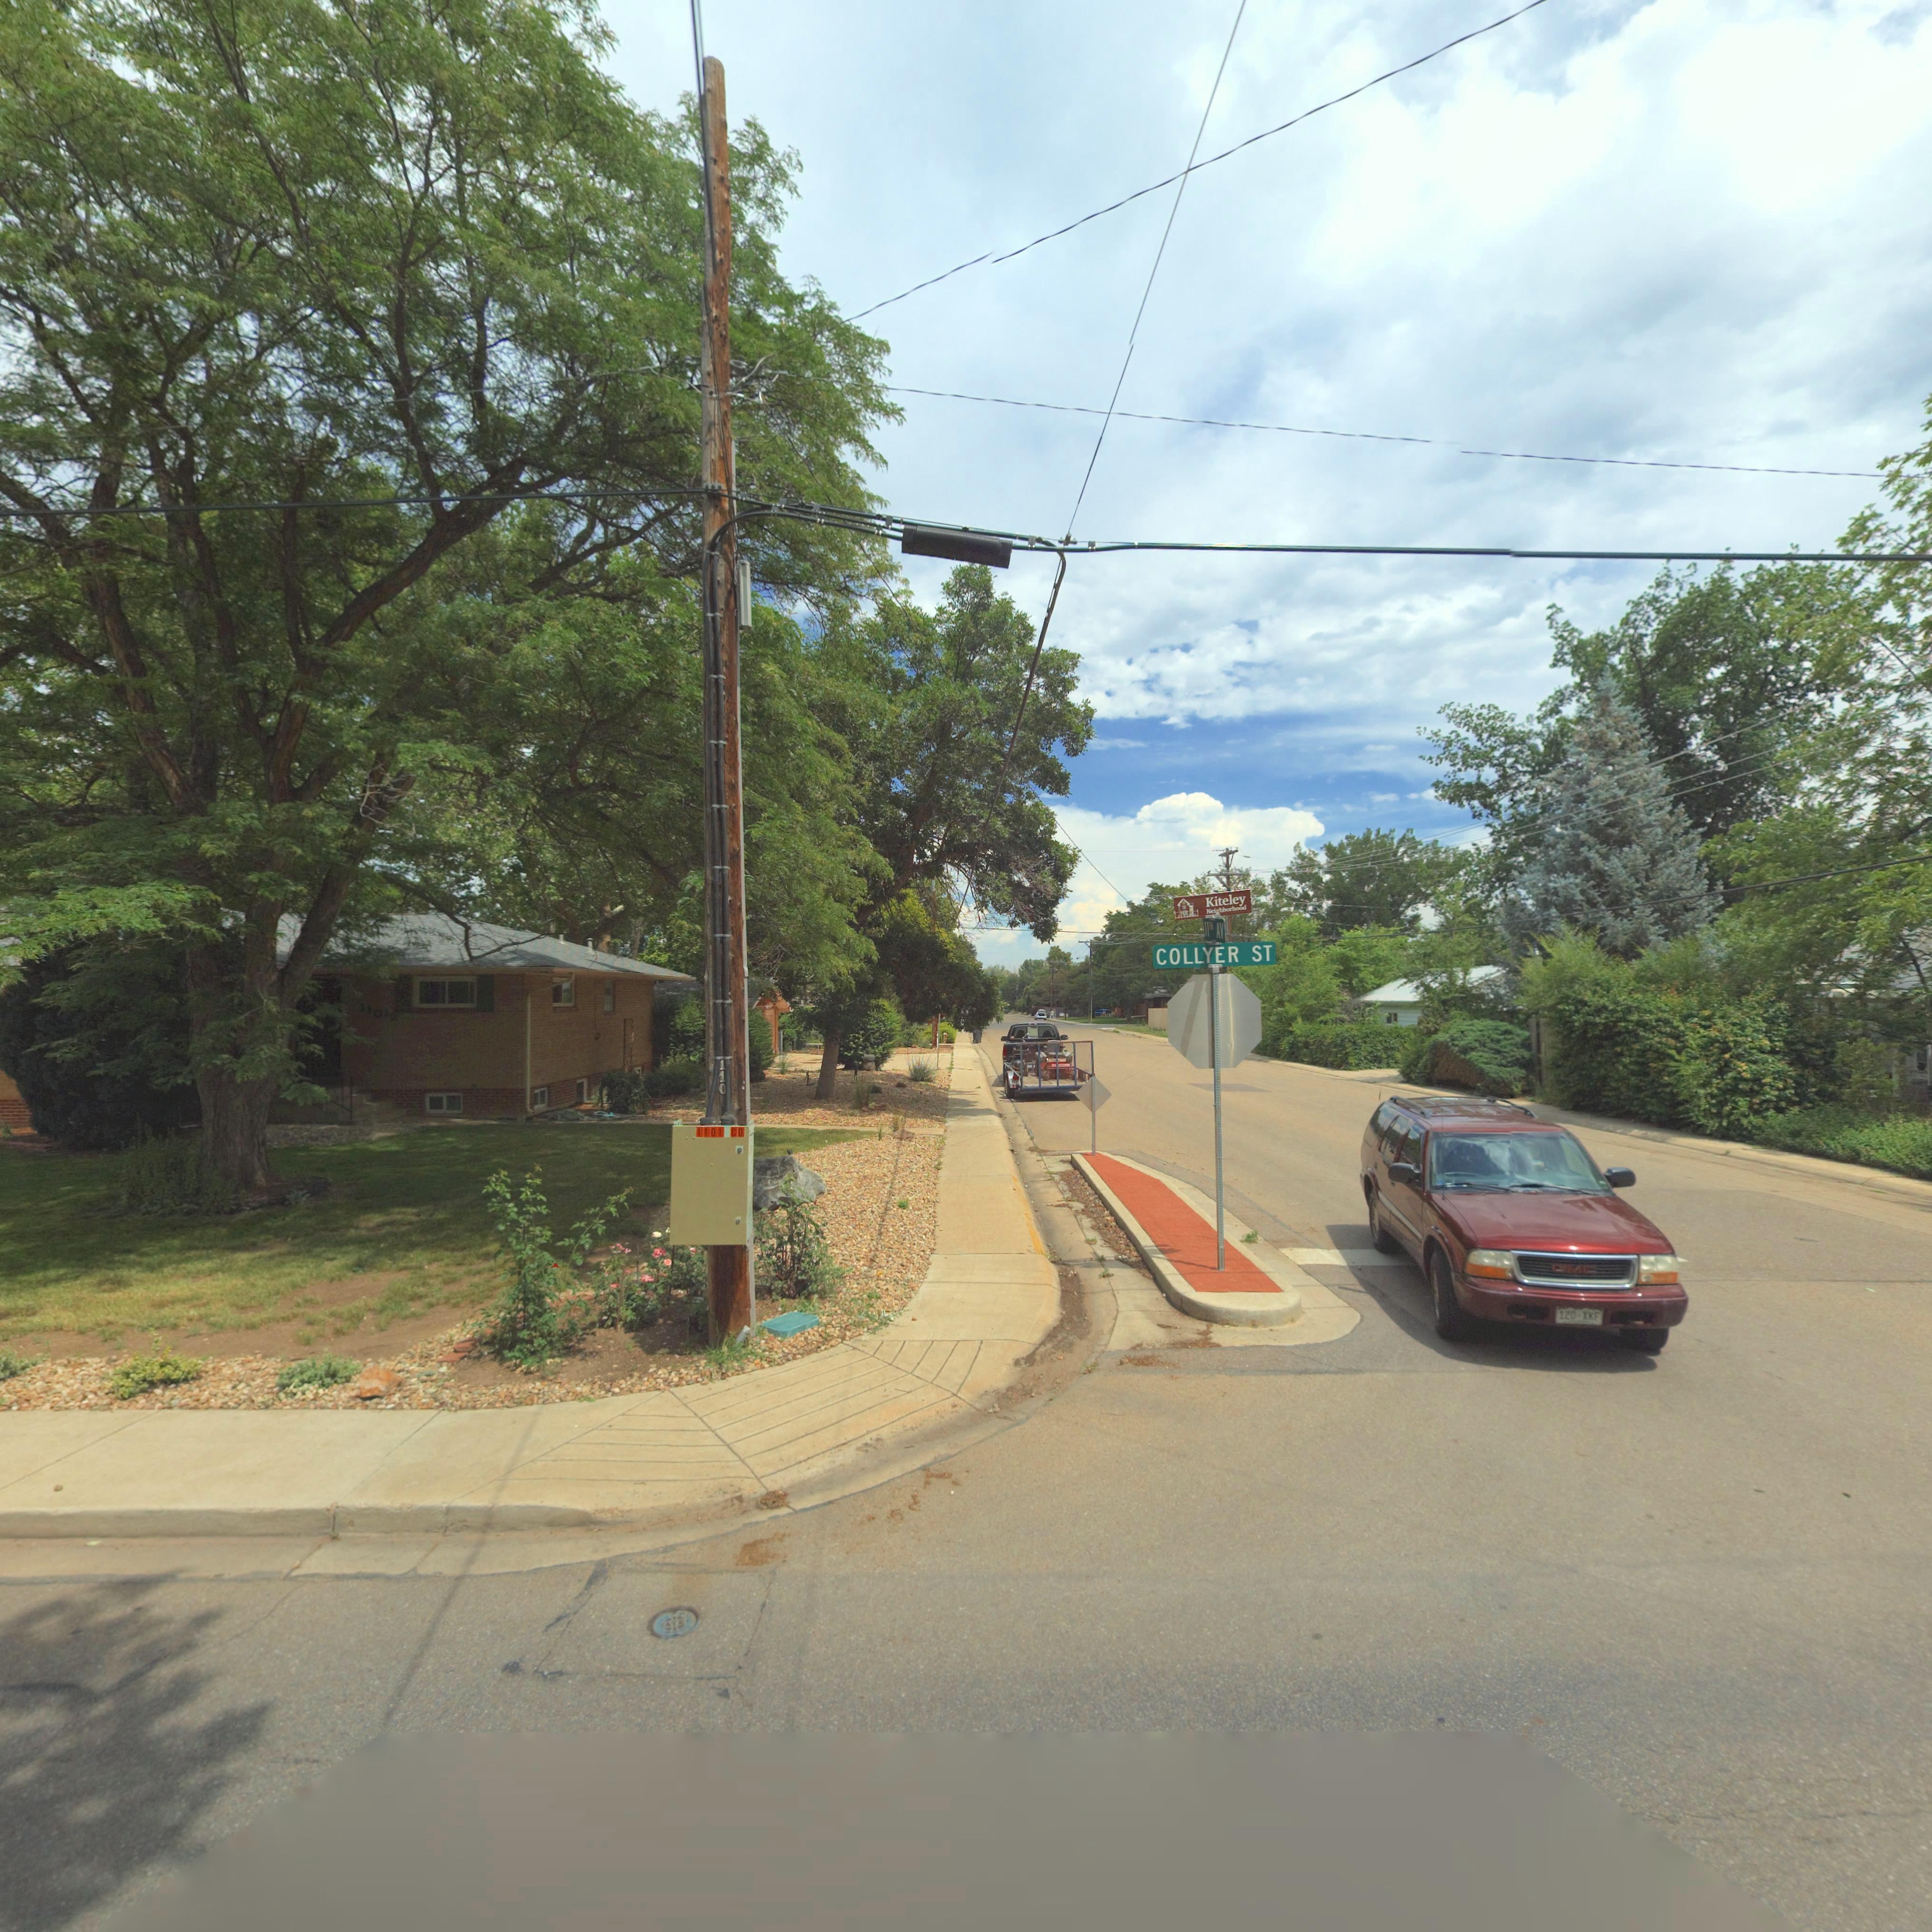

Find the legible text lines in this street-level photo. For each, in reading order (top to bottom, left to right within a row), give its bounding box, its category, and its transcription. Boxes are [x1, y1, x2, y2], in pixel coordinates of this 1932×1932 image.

[1156, 945, 1273, 965] StreetName: COLLYER ST
[357, 1002, 400, 1023] StreetNumber: 1102